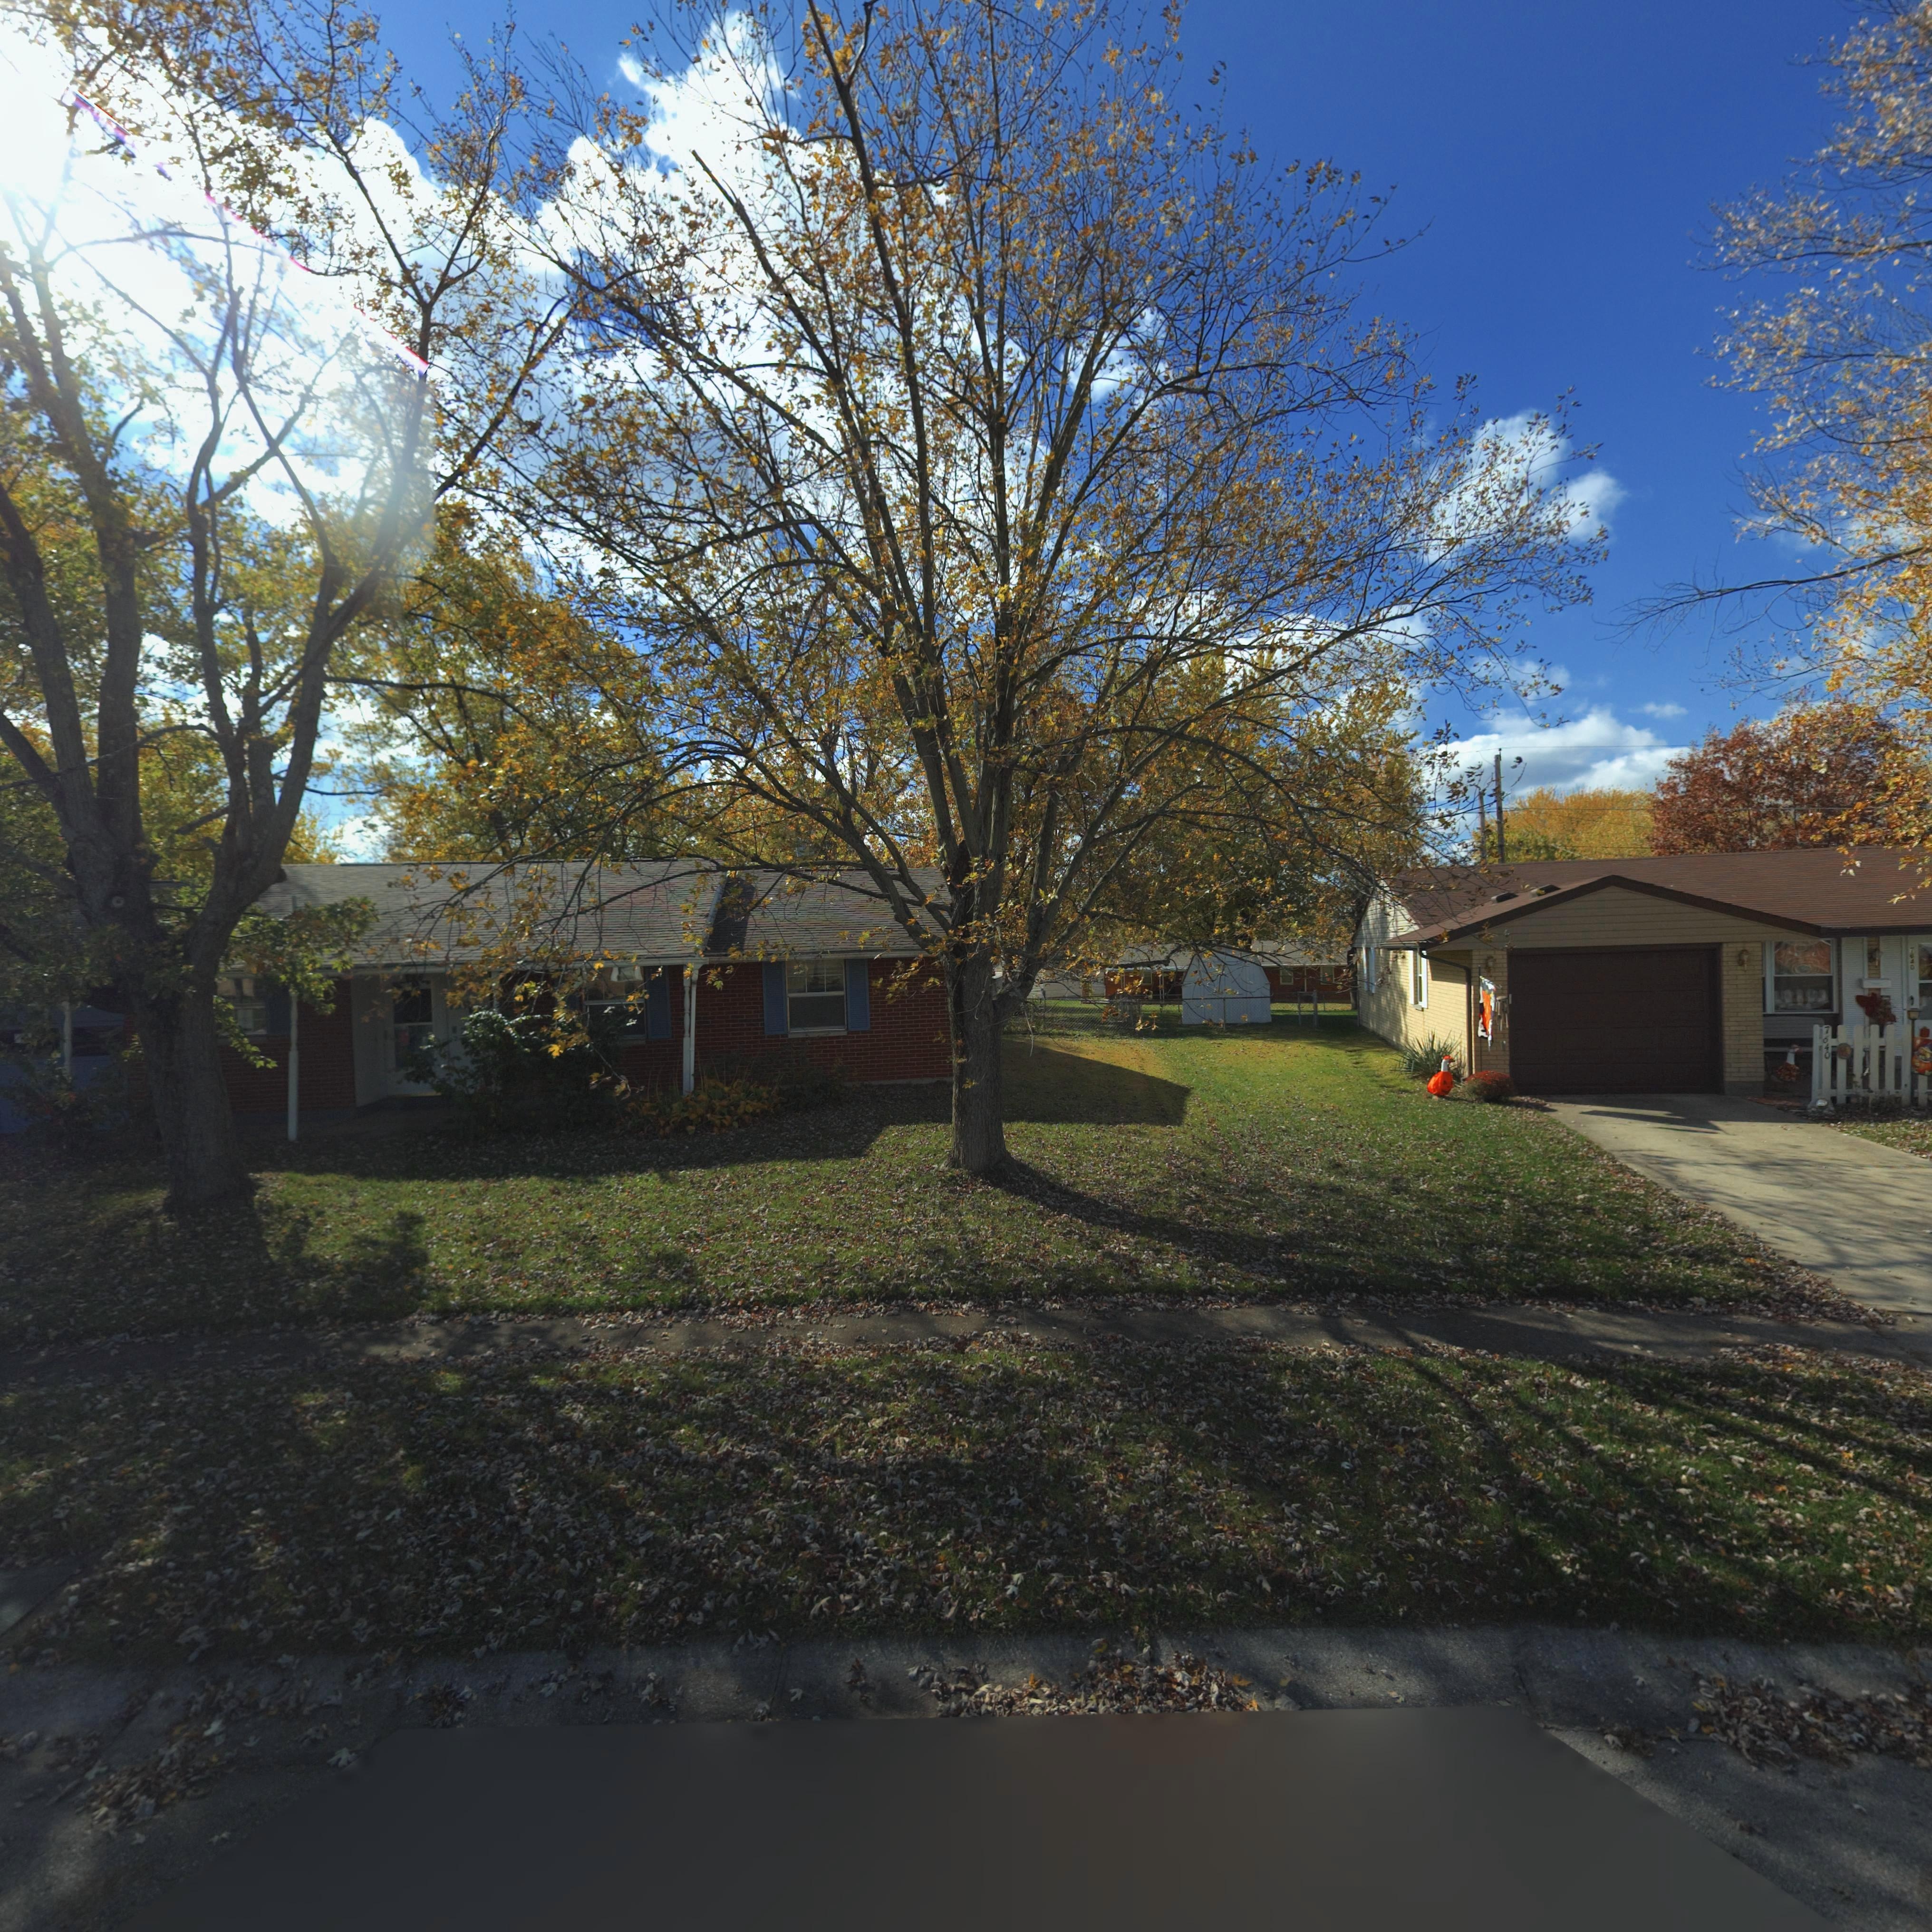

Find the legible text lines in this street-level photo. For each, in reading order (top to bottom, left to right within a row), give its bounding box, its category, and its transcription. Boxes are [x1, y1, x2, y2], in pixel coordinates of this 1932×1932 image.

[1909, 947, 1915, 971] StreetNumber: 7640
[1823, 1025, 1831, 1059] StreetNumber: 7640